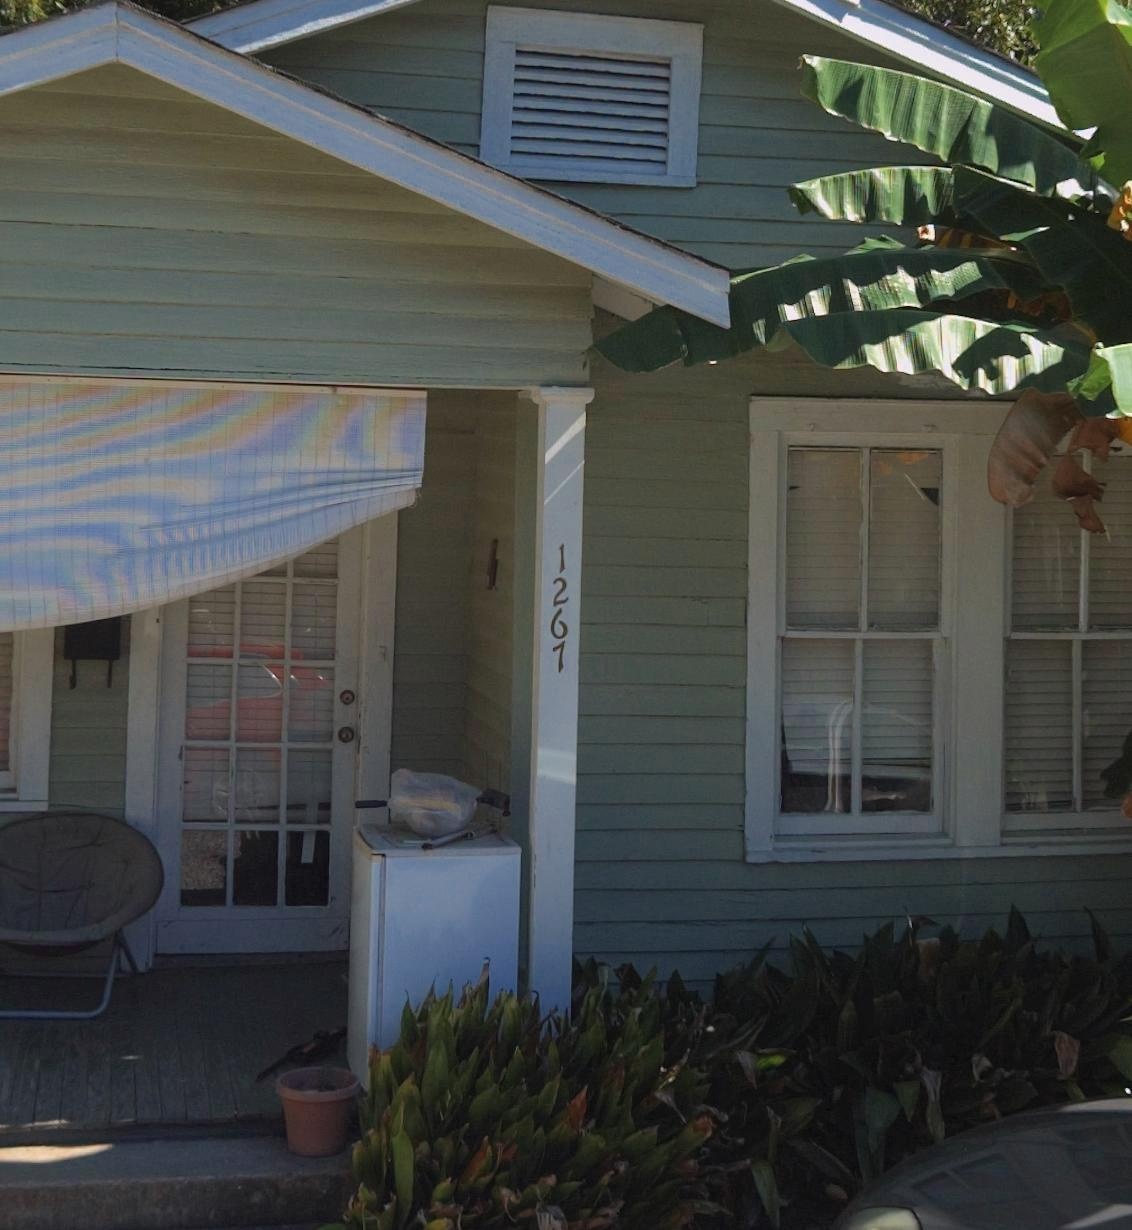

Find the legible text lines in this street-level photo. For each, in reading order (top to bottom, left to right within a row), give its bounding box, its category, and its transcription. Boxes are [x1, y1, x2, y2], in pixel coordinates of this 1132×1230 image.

[548, 541, 571, 675] StreetNumber: 1267